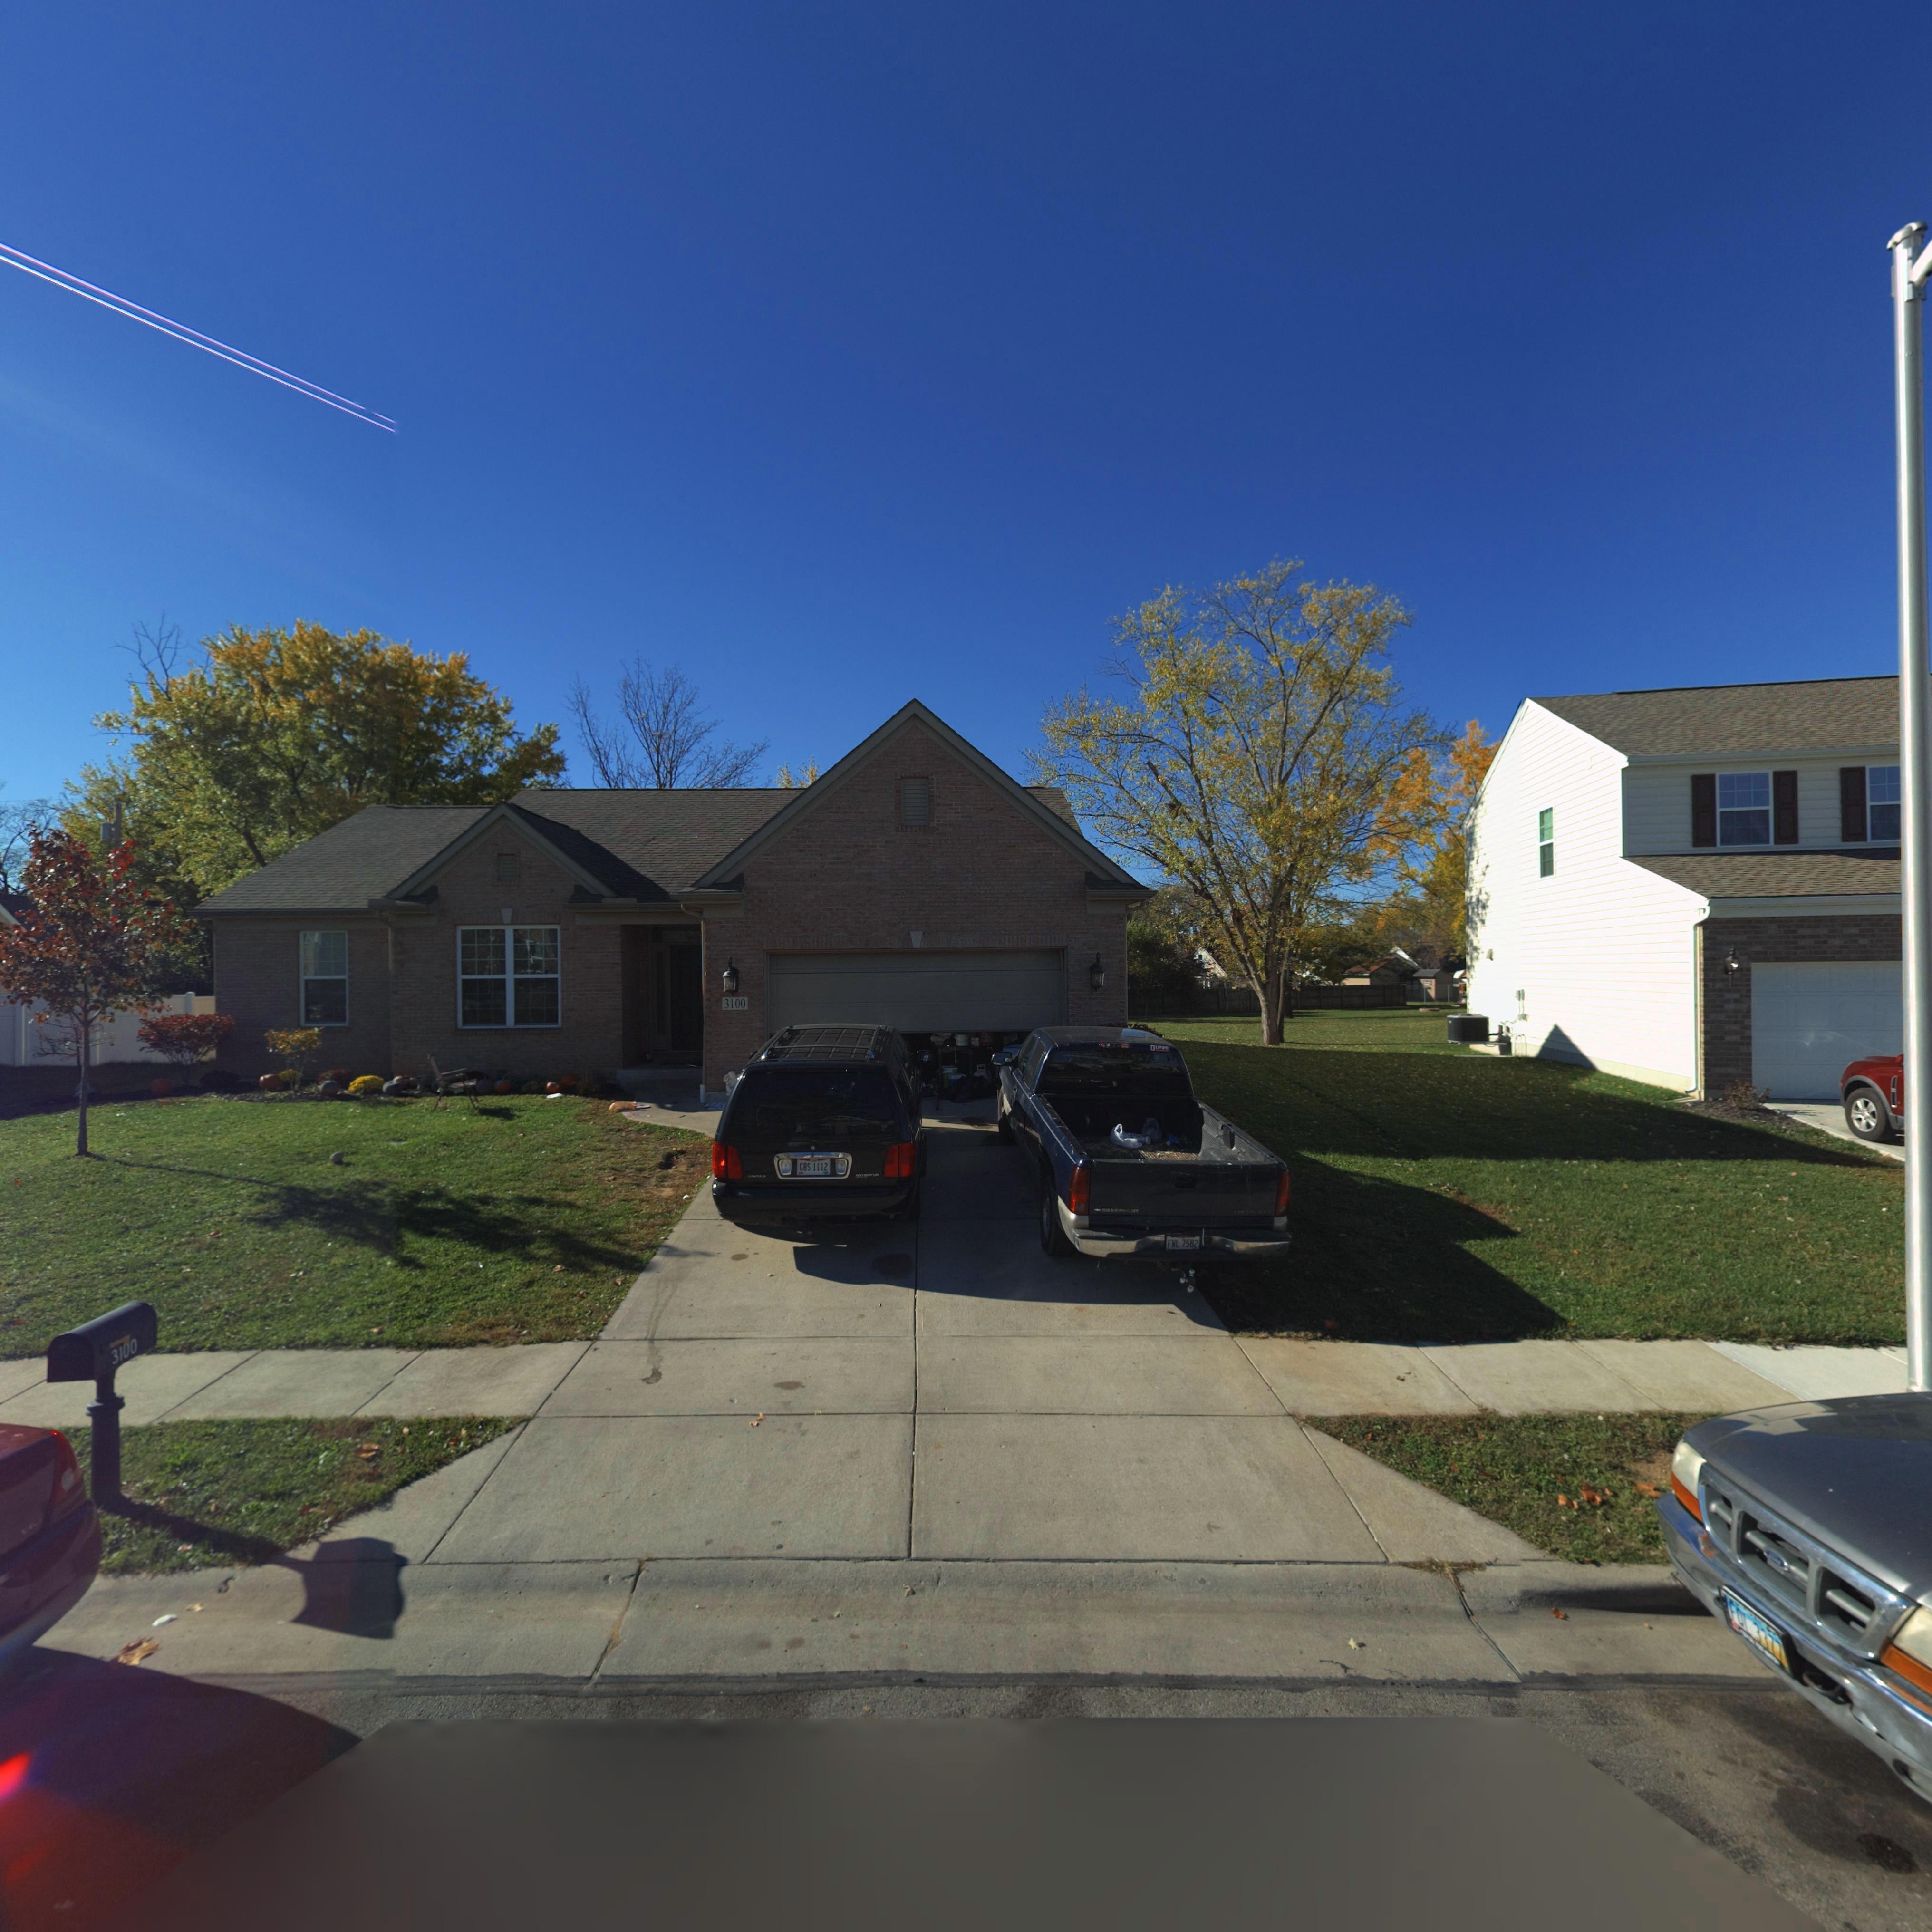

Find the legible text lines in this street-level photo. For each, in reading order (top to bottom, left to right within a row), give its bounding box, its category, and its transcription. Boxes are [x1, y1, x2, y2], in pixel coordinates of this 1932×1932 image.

[724, 998, 745, 1009] StreetNumber: 3100
[110, 1337, 138, 1366] StreetNumber: 3100